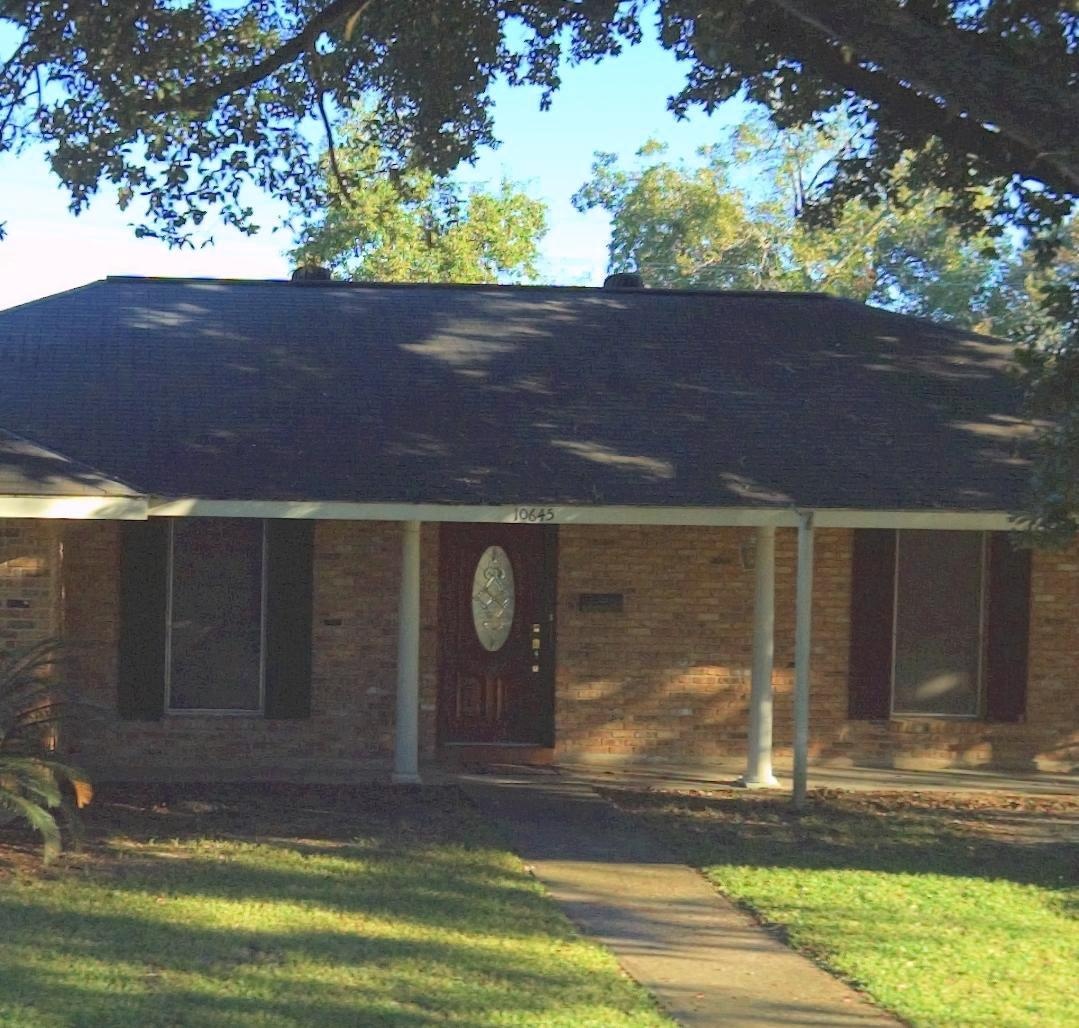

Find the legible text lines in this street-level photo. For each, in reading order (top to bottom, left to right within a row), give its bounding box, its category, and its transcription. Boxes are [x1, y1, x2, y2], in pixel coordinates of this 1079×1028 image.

[512, 506, 556, 523] StreetNumber: 10645